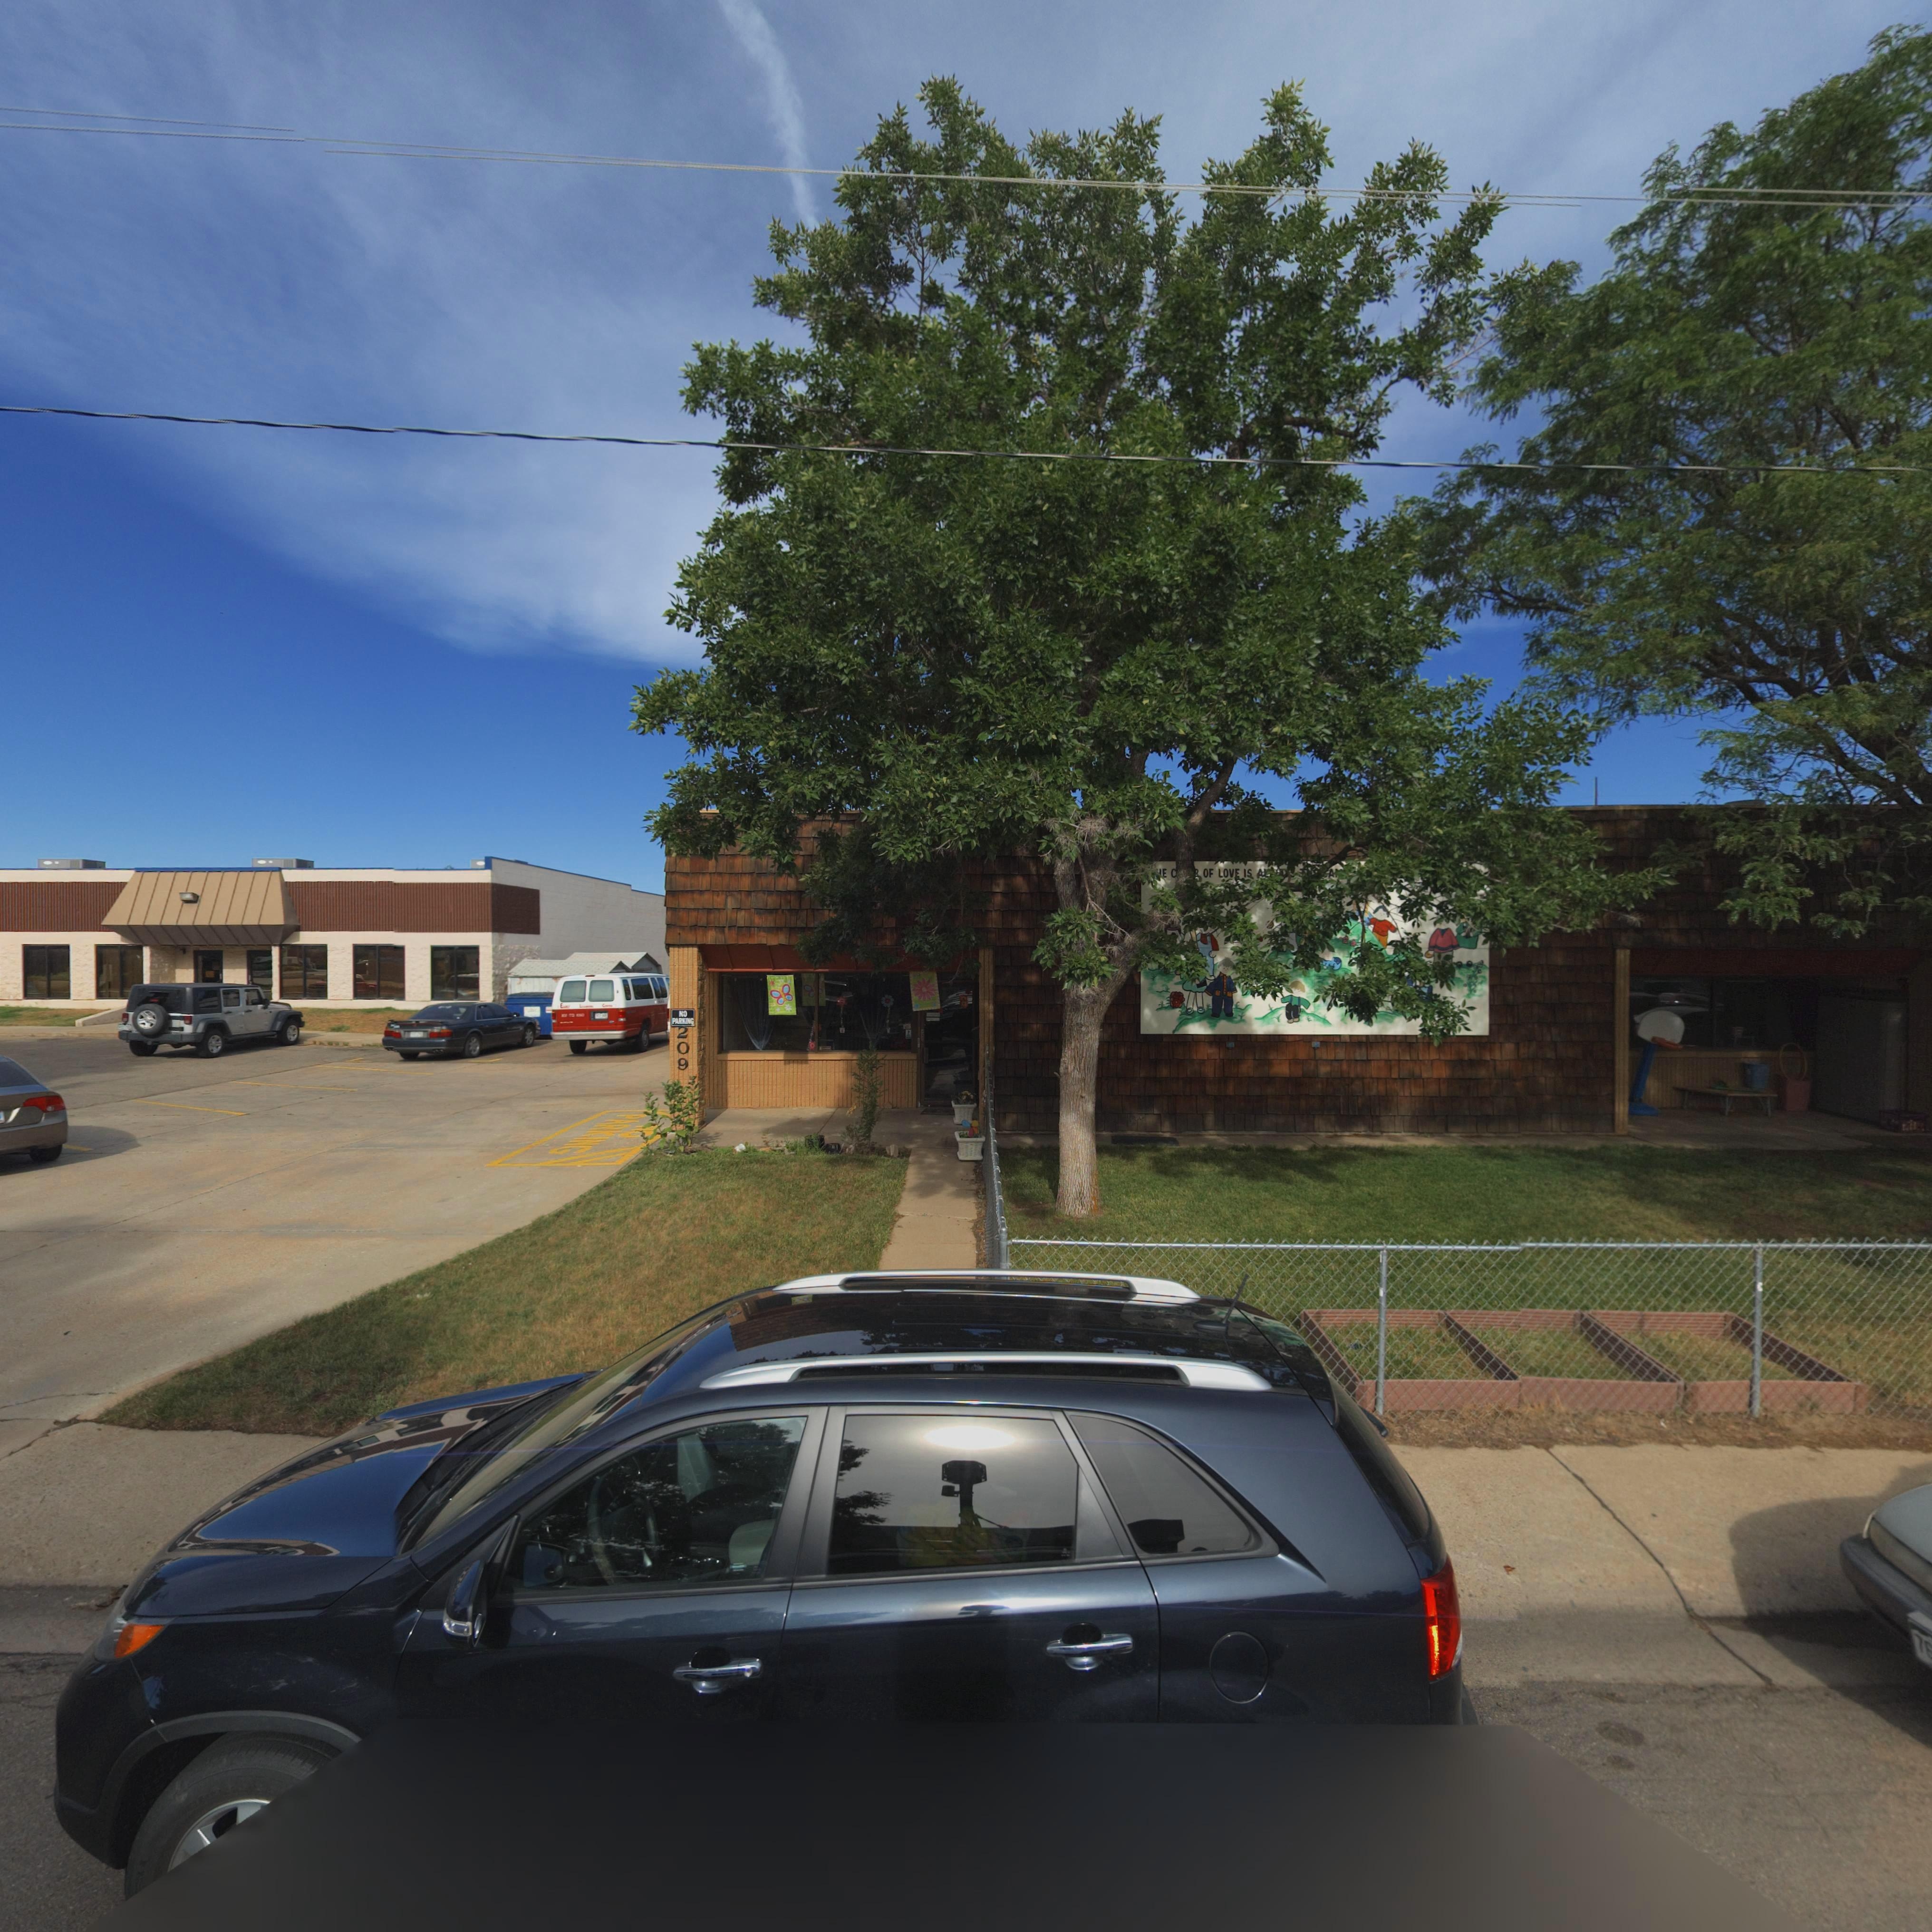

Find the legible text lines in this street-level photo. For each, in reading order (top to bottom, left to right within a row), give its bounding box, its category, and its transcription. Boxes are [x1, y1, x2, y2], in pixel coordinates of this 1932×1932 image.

[676, 1025, 690, 1072] StreetNumber: 209